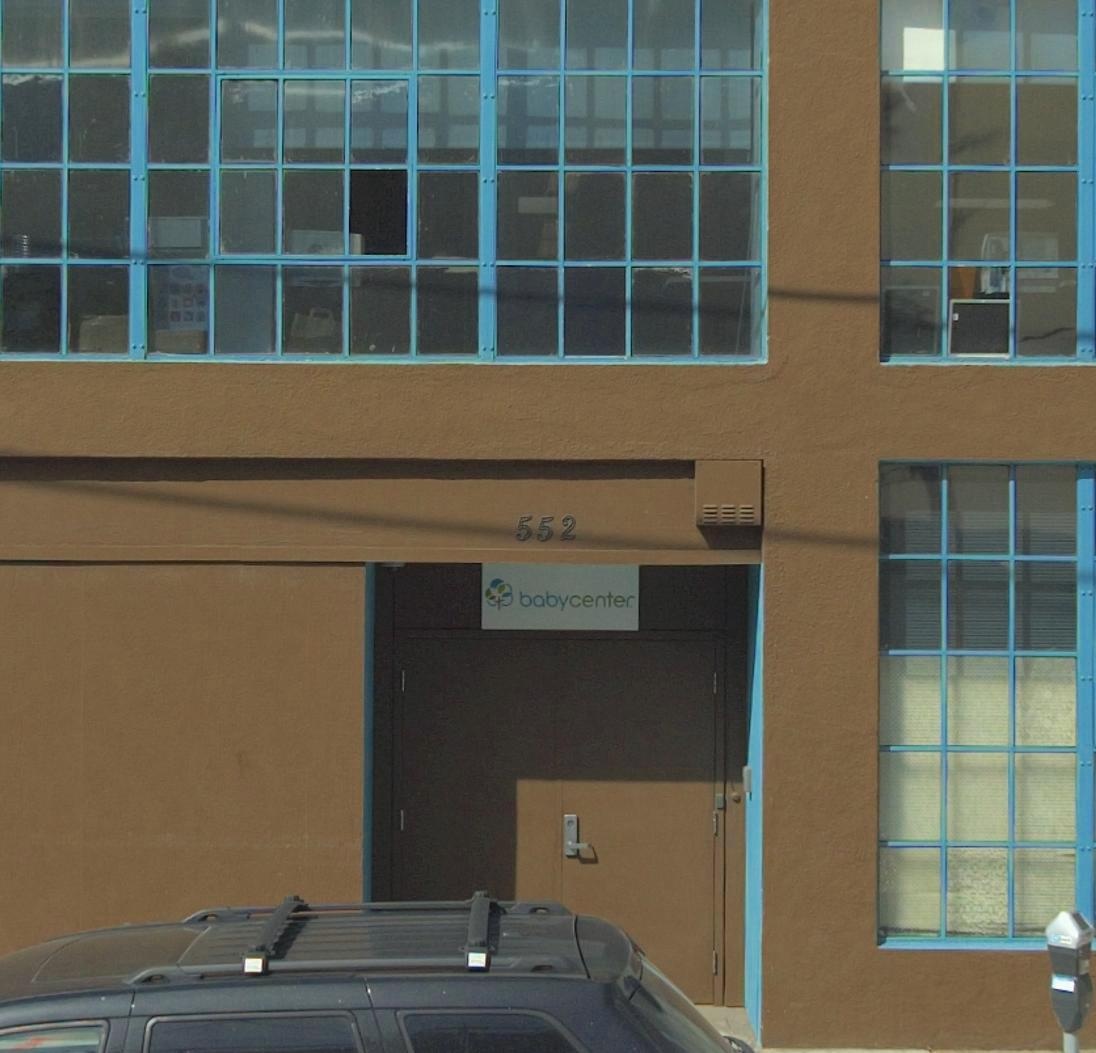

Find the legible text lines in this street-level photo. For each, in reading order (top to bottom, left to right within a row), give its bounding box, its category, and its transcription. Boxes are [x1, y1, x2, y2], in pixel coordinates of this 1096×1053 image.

[511, 511, 581, 544] StreetNumber: 552
[517, 585, 640, 615] BusinessName: babycenter